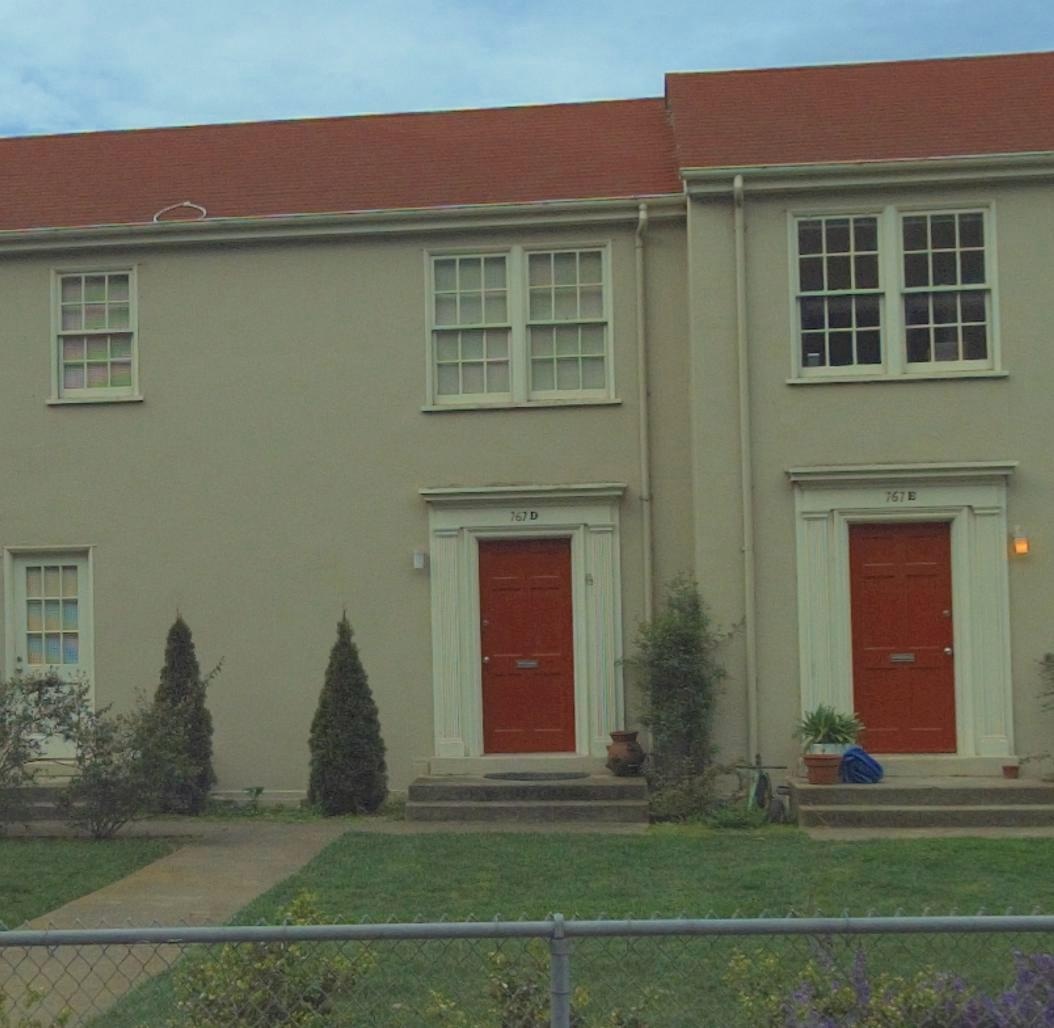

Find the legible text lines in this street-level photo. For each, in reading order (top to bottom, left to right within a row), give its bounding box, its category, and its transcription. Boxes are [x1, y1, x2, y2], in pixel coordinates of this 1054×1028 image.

[882, 490, 917, 503] StreetNumber: 767 E
[509, 510, 539, 522] StreetNumber: 767 D